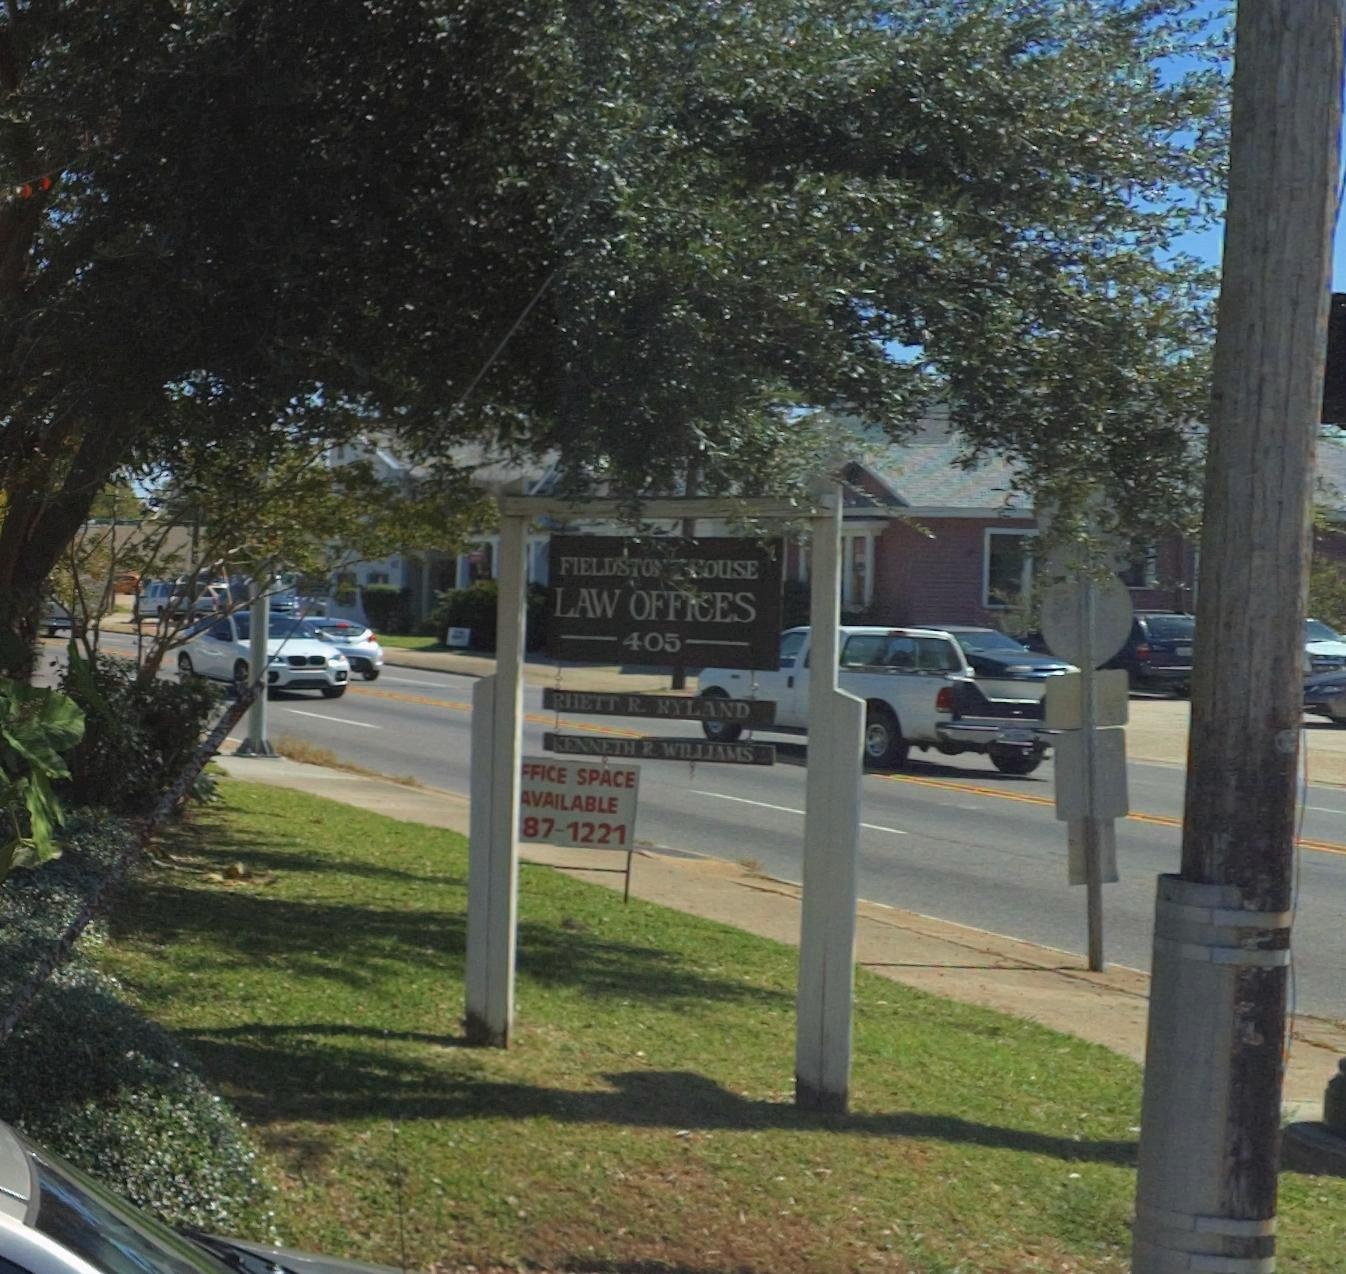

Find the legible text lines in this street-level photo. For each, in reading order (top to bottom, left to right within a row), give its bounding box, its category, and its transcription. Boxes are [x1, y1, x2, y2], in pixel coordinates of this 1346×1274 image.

[555, 552, 763, 582] BusinessName: FIELD*TO***OUSE
[551, 583, 760, 626] BusinessName: LAW OFF**ES
[619, 628, 684, 655] StreetNumber: 405
[550, 690, 753, 722] None: RHETT R. RYLAND
[551, 733, 757, 765] None: *ENNETH R. WILLAMS
[527, 760, 639, 791] None: FICE SPACE
[526, 786, 622, 817] None: VAILABLE
[521, 812, 628, 848] None: 87-1221